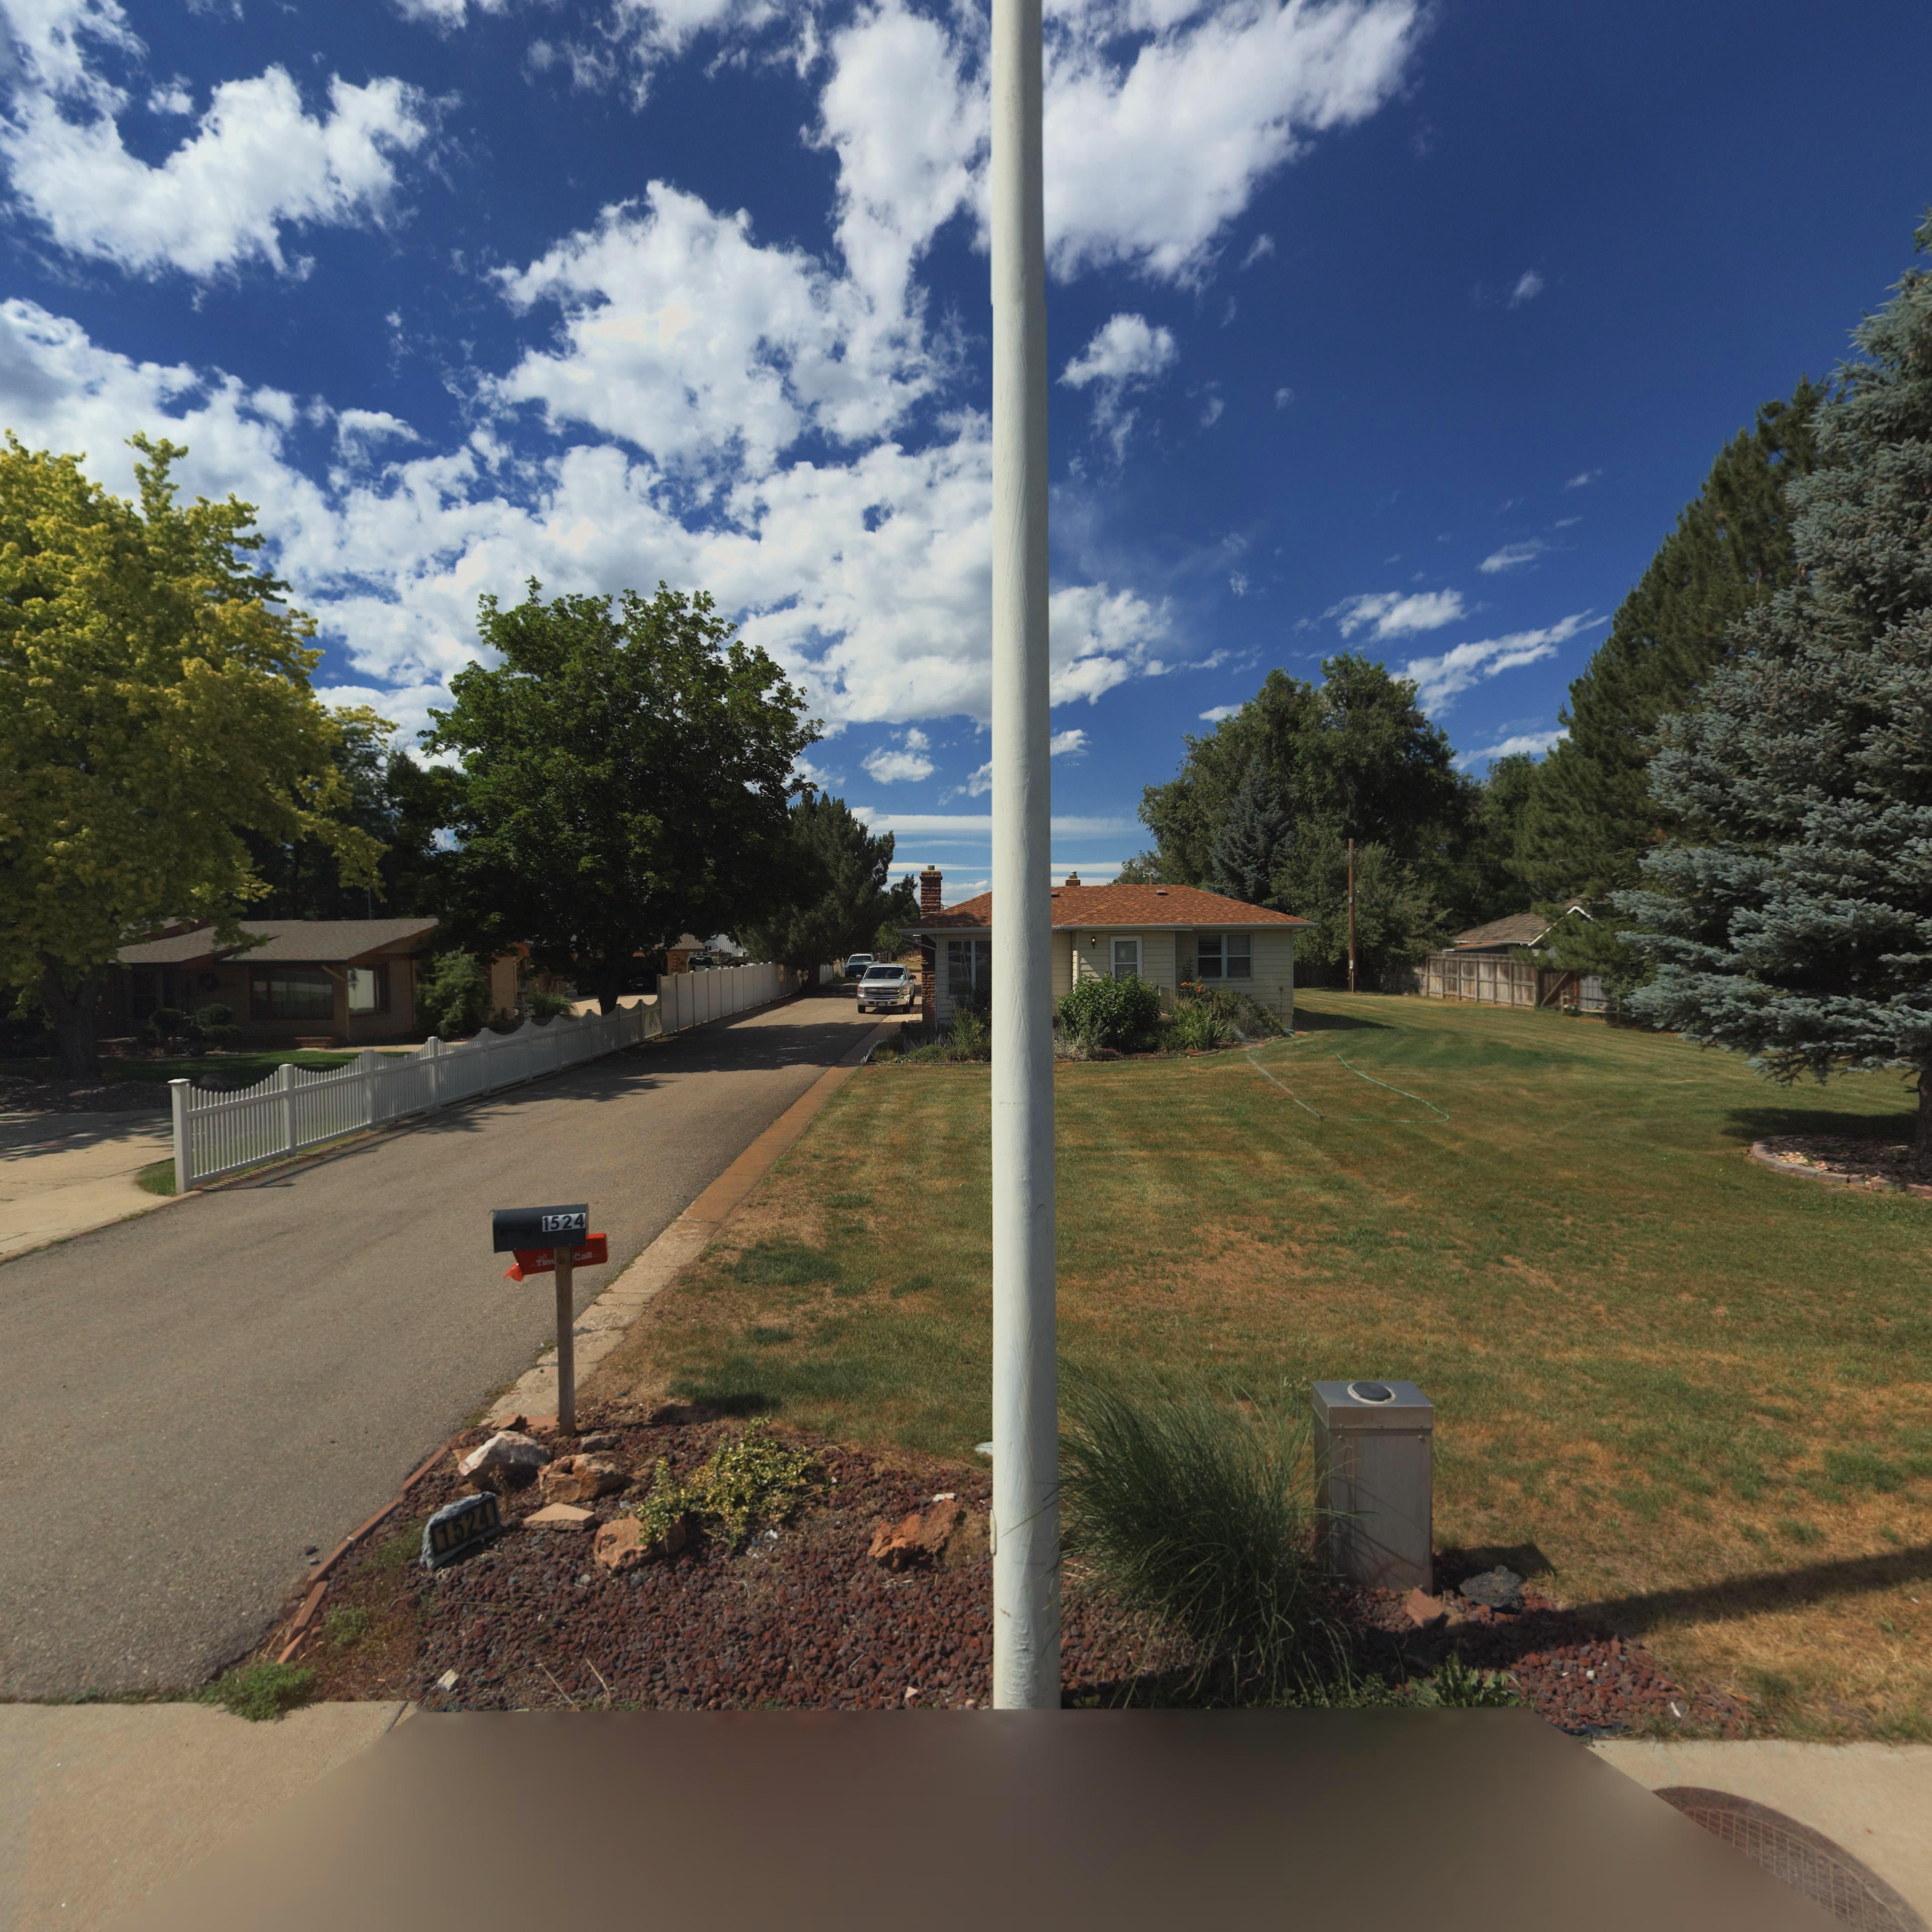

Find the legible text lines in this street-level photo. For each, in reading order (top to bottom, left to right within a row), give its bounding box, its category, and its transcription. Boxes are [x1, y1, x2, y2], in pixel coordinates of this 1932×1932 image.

[543, 1213, 585, 1231] StreetNumber: 1524
[438, 1502, 491, 1551] StreetNumber: 1524